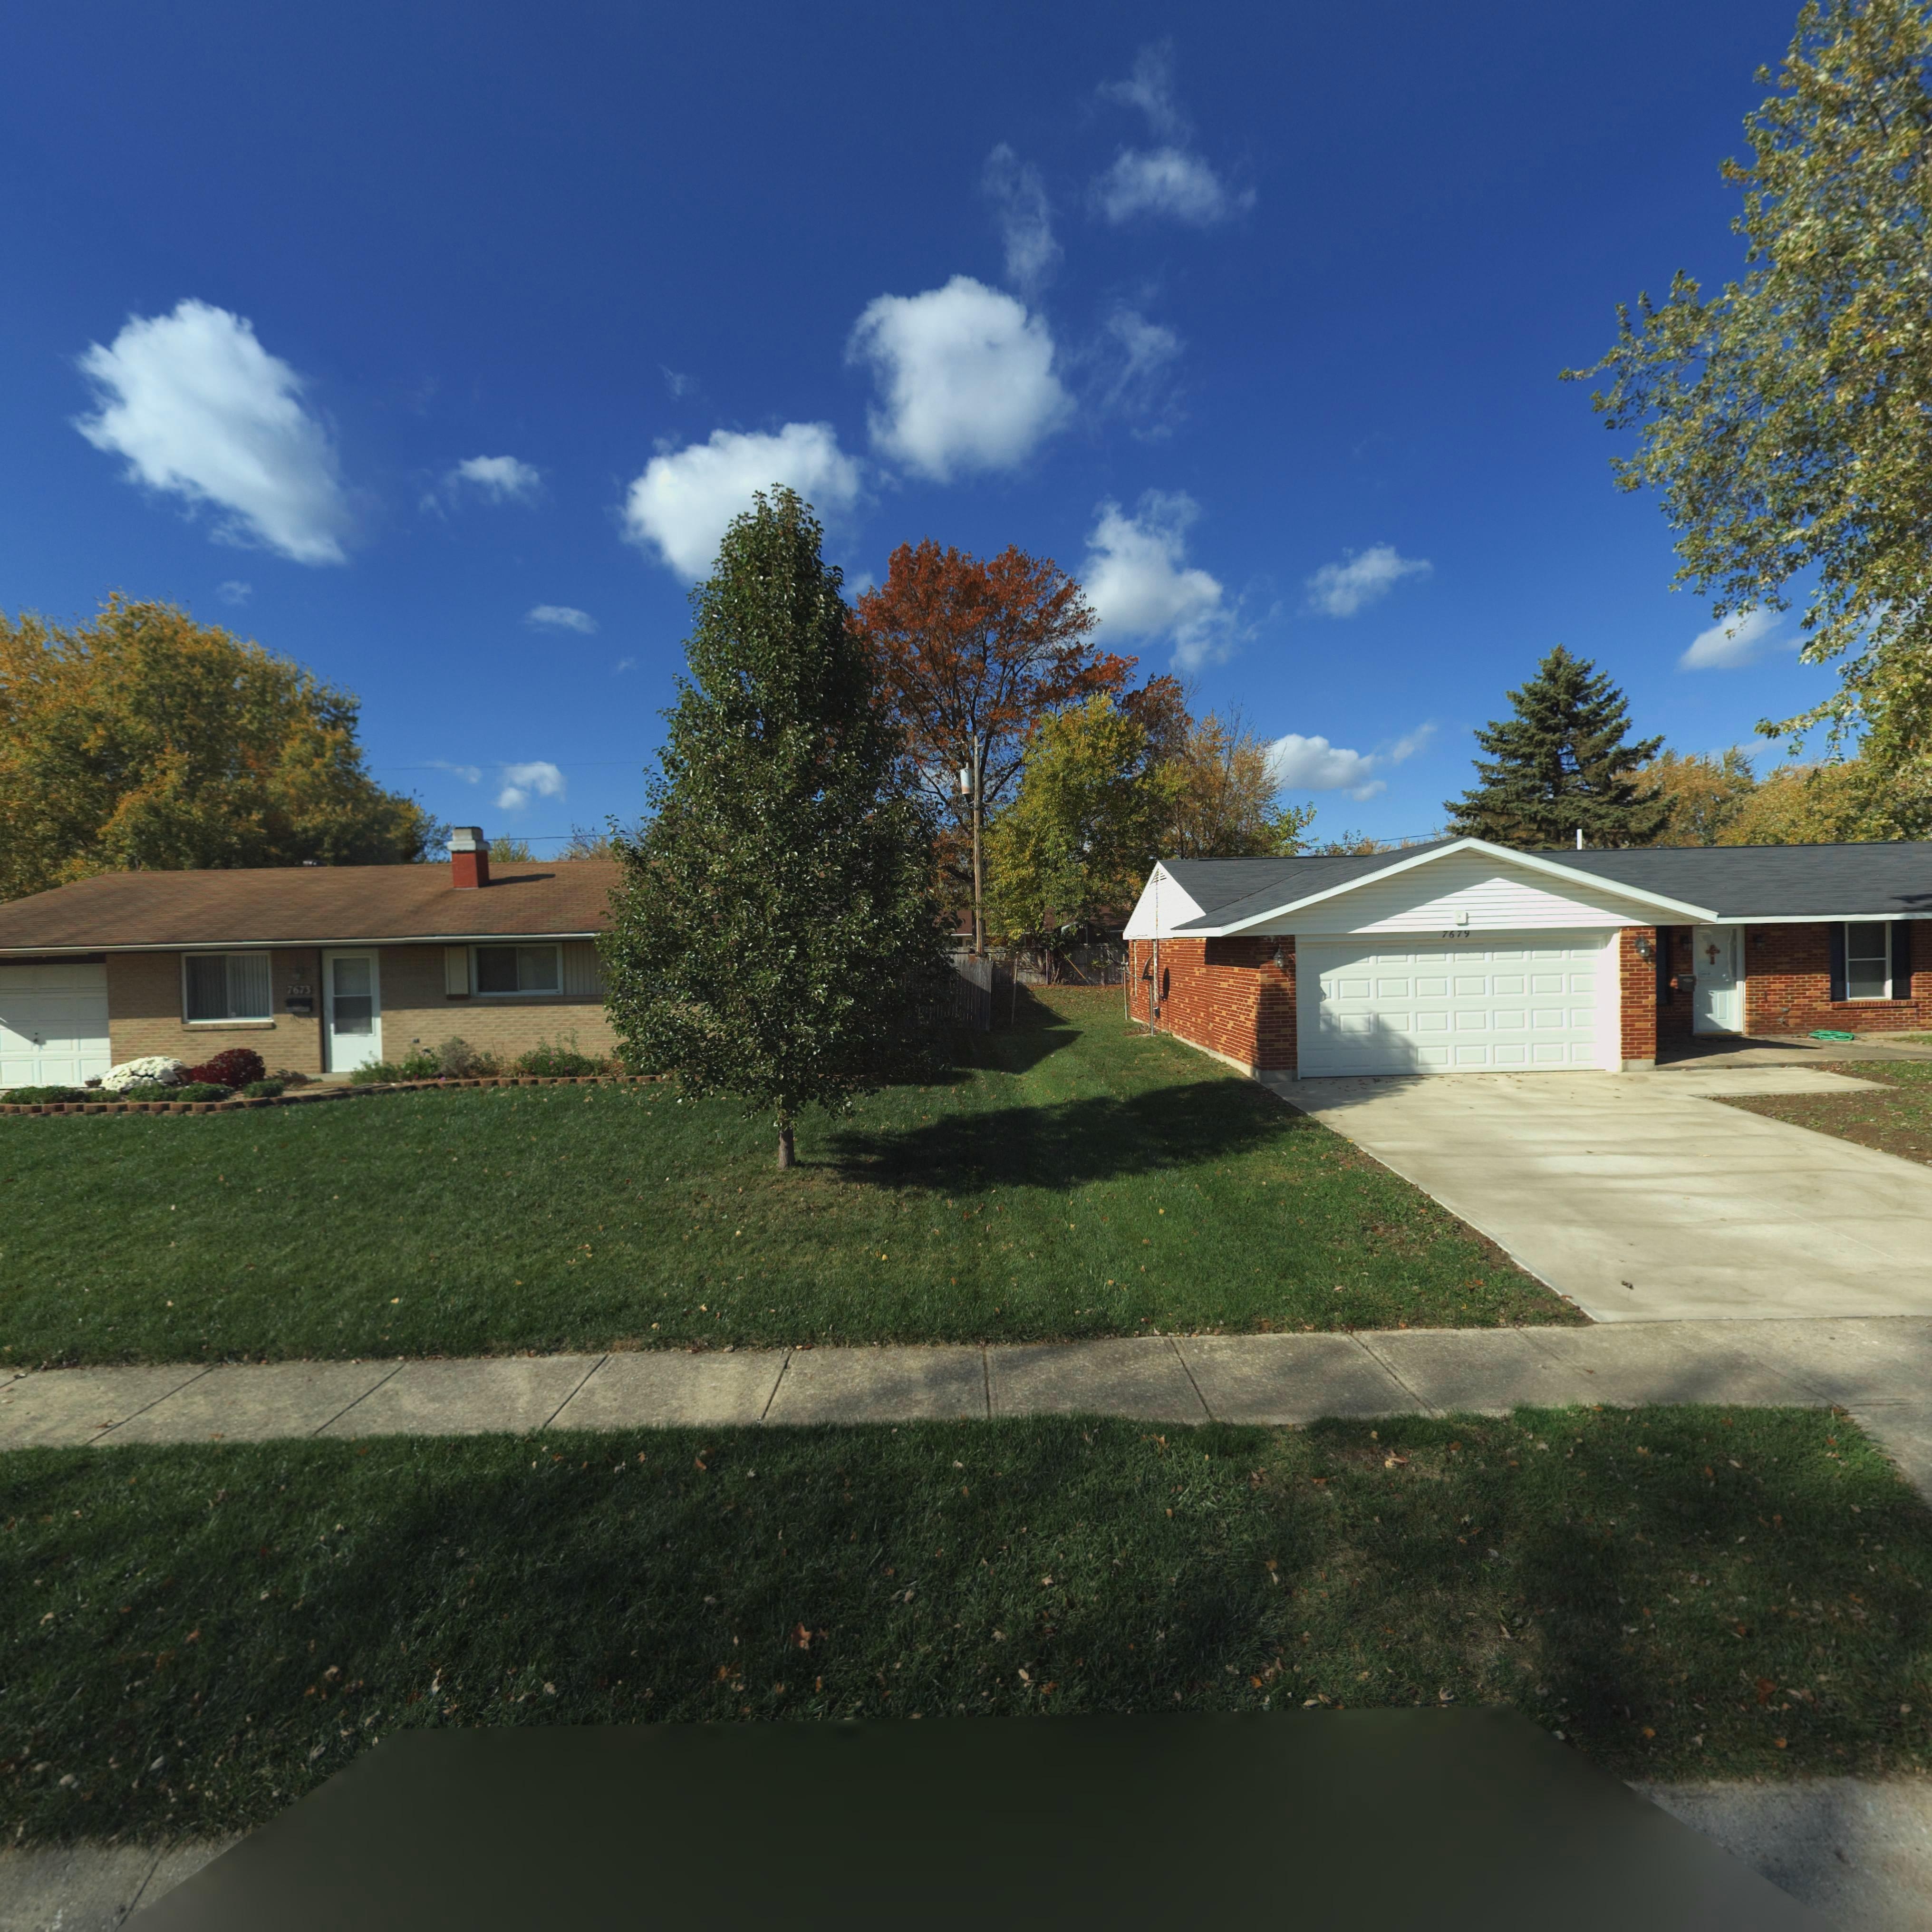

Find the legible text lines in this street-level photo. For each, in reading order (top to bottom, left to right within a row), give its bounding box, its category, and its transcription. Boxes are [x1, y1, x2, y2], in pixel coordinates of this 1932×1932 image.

[1440, 928, 1471, 939] StreetNumber: 767*
[285, 984, 312, 995] StreetNumber: 7673